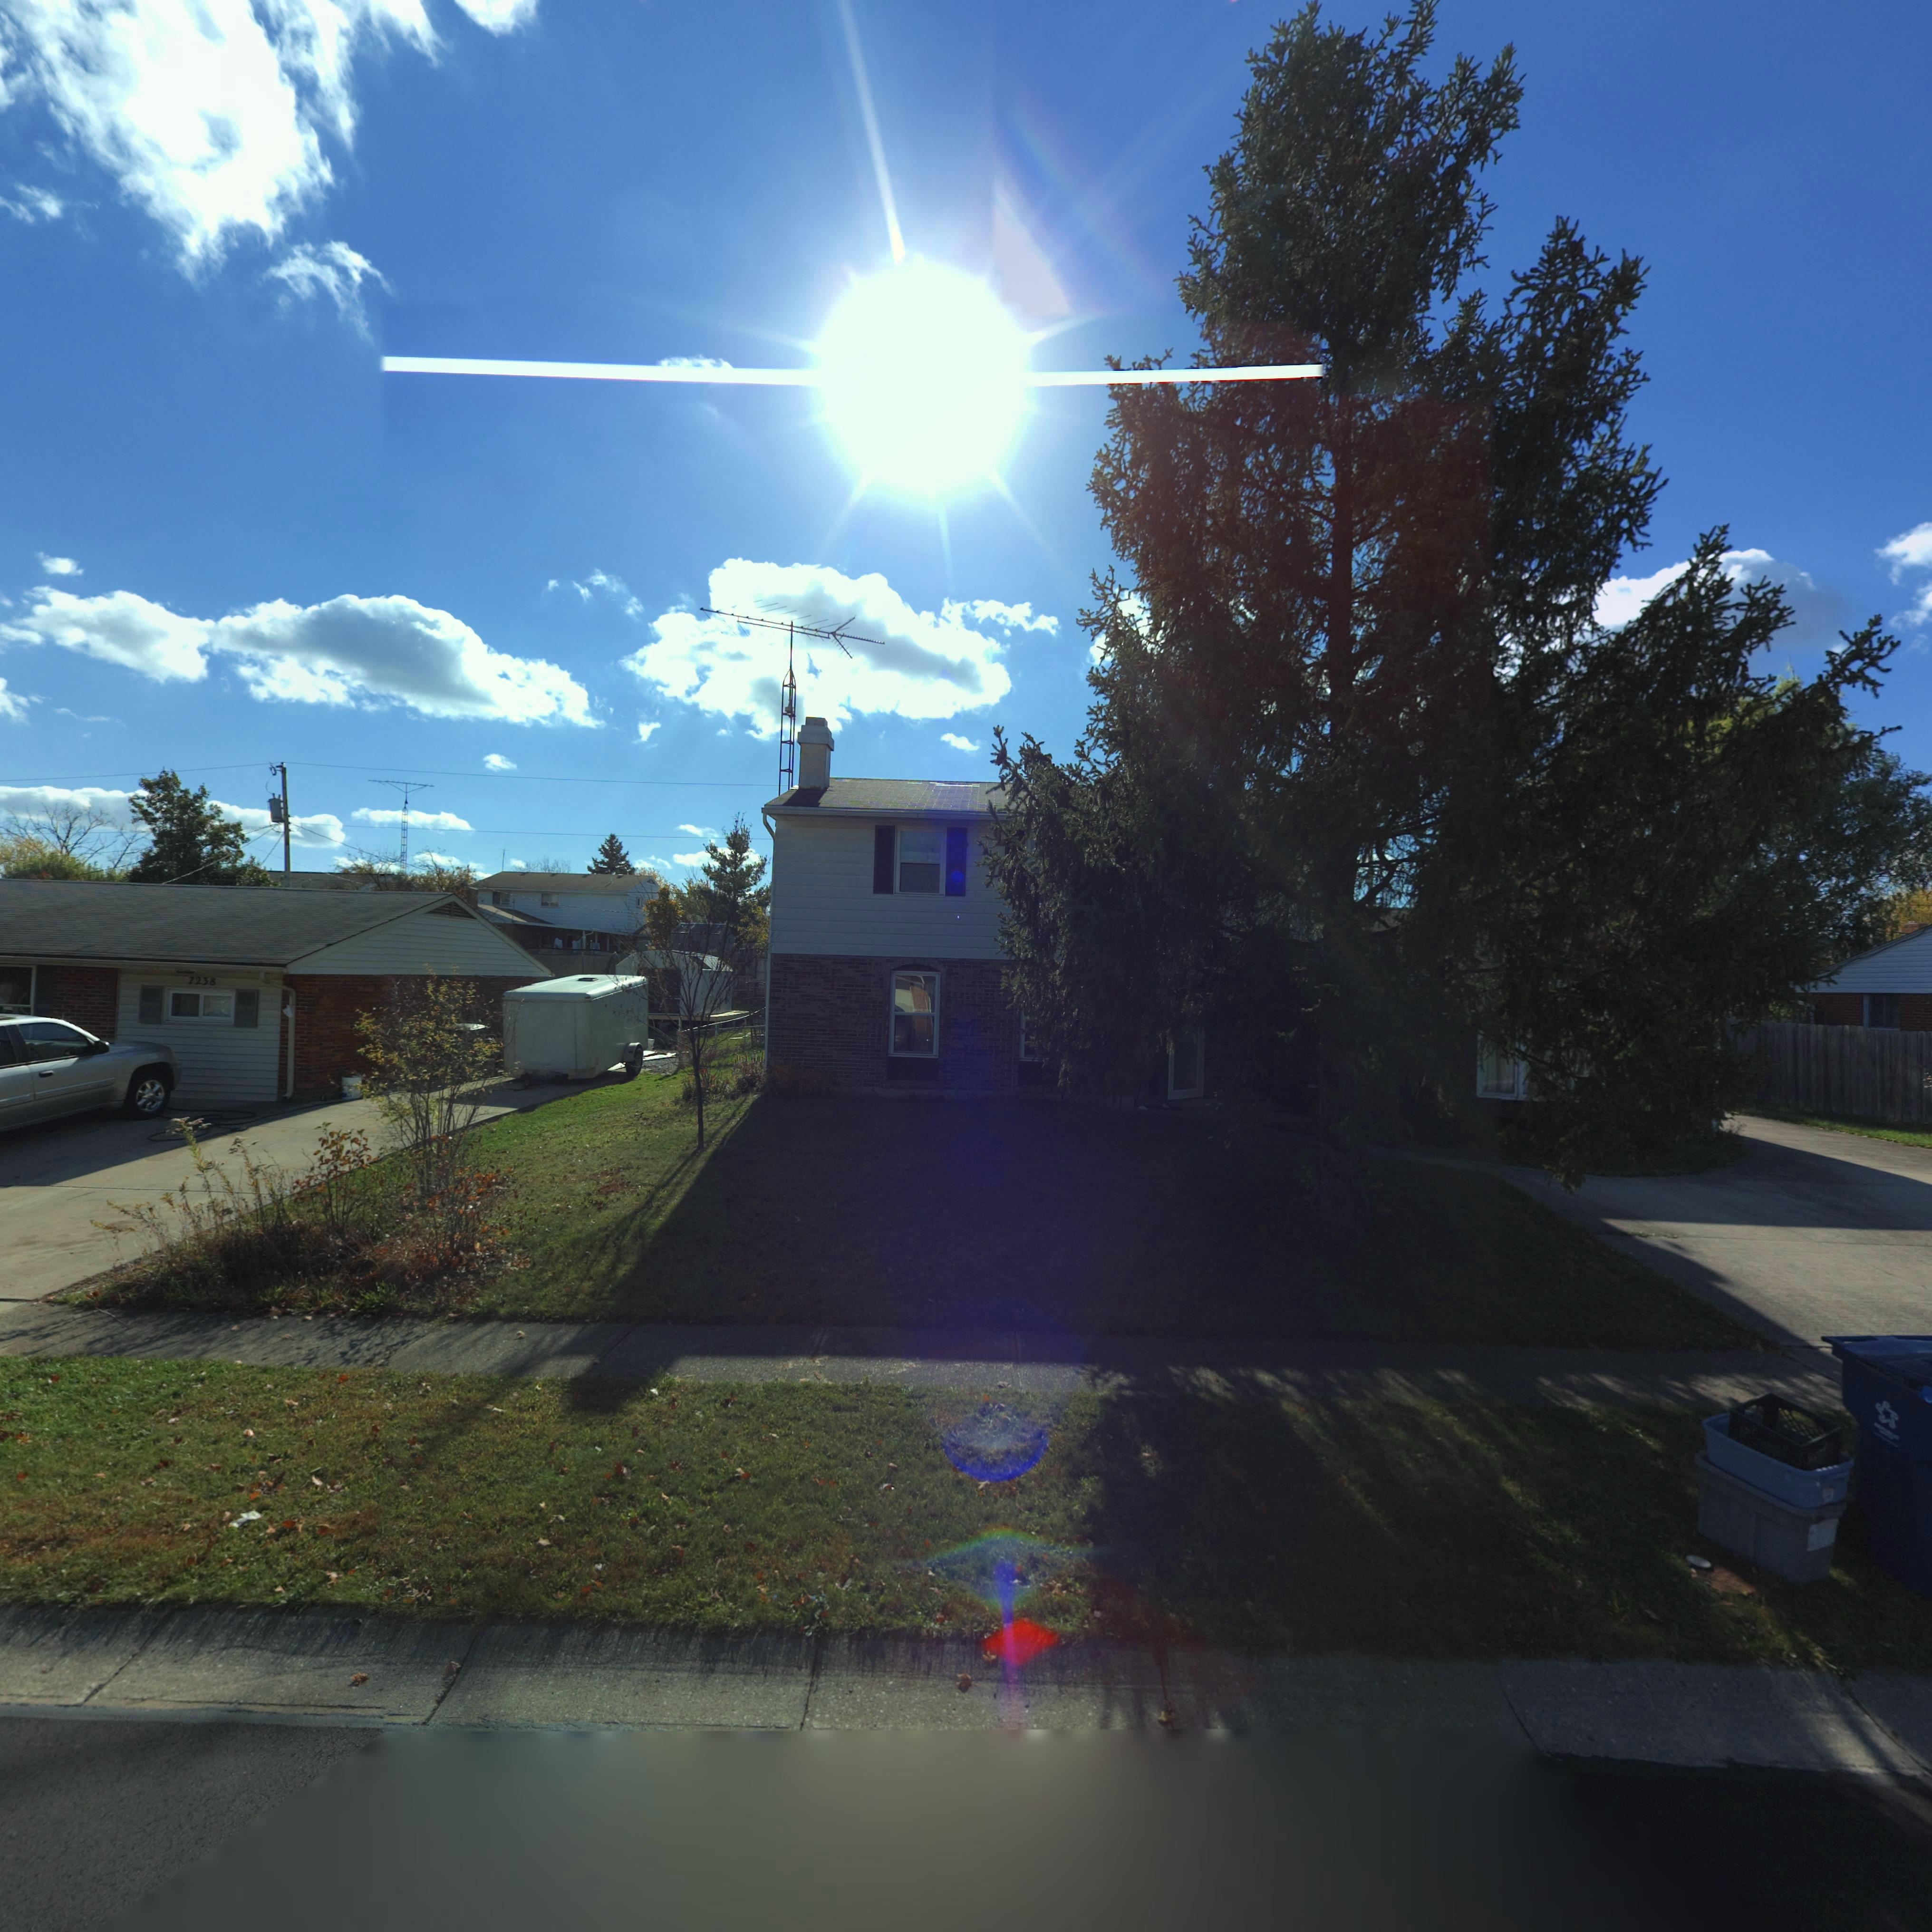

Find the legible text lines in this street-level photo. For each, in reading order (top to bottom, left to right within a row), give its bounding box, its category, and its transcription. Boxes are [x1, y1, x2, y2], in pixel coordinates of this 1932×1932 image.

[187, 976, 217, 986] StreetNumber: 7238